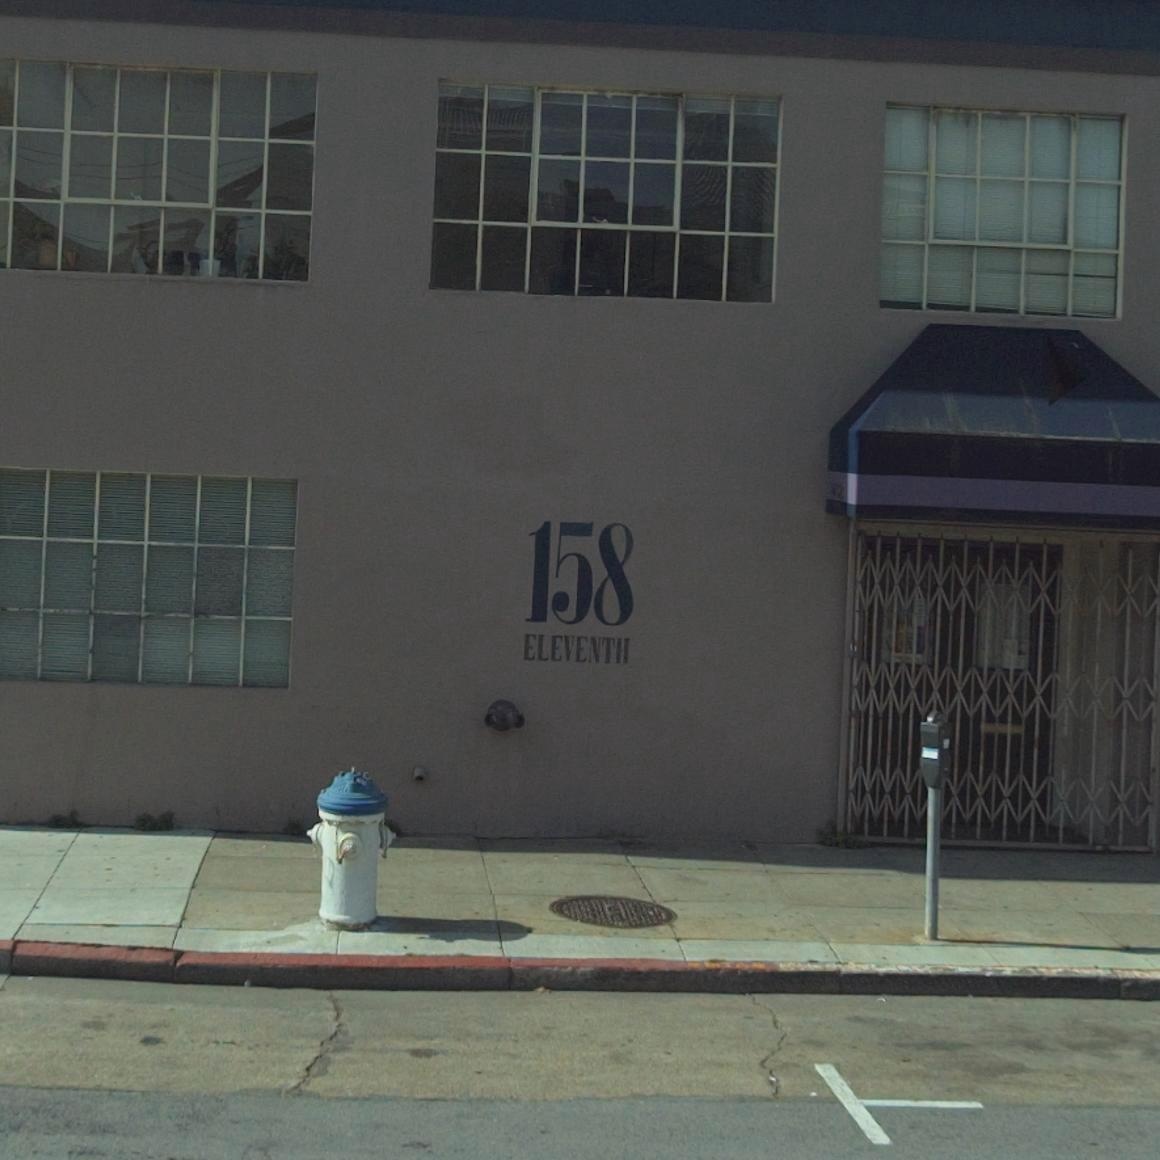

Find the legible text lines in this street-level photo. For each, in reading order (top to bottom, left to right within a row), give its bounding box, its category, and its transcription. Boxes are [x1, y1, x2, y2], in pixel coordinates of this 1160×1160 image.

[521, 516, 638, 629] StreetNumber: 158
[519, 629, 635, 669] StreetName: ELEVENTH